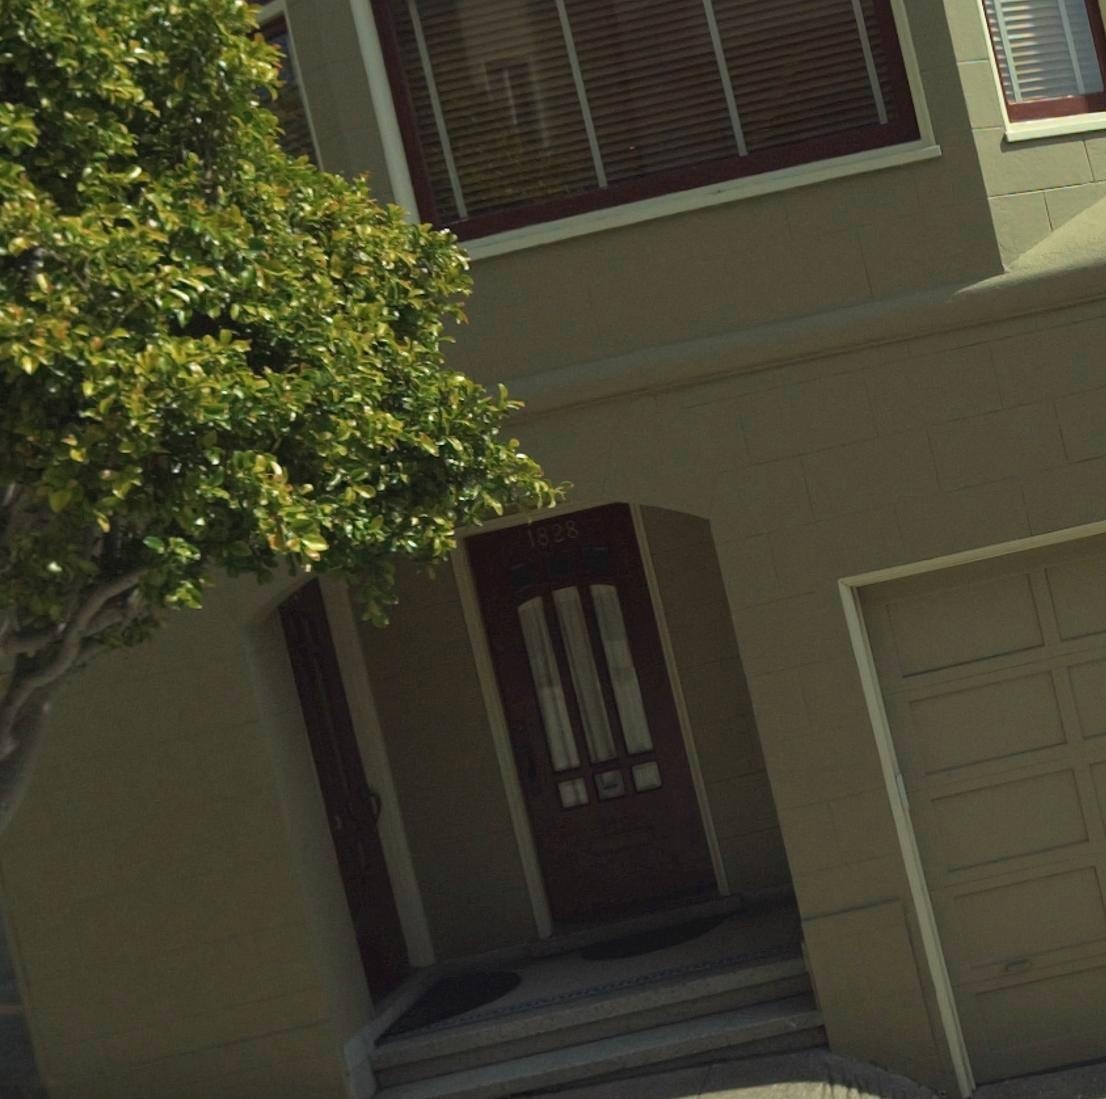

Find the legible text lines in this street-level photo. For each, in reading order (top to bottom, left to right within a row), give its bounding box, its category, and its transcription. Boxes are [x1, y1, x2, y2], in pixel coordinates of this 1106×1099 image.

[525, 518, 580, 550] StreetNumber: 1828